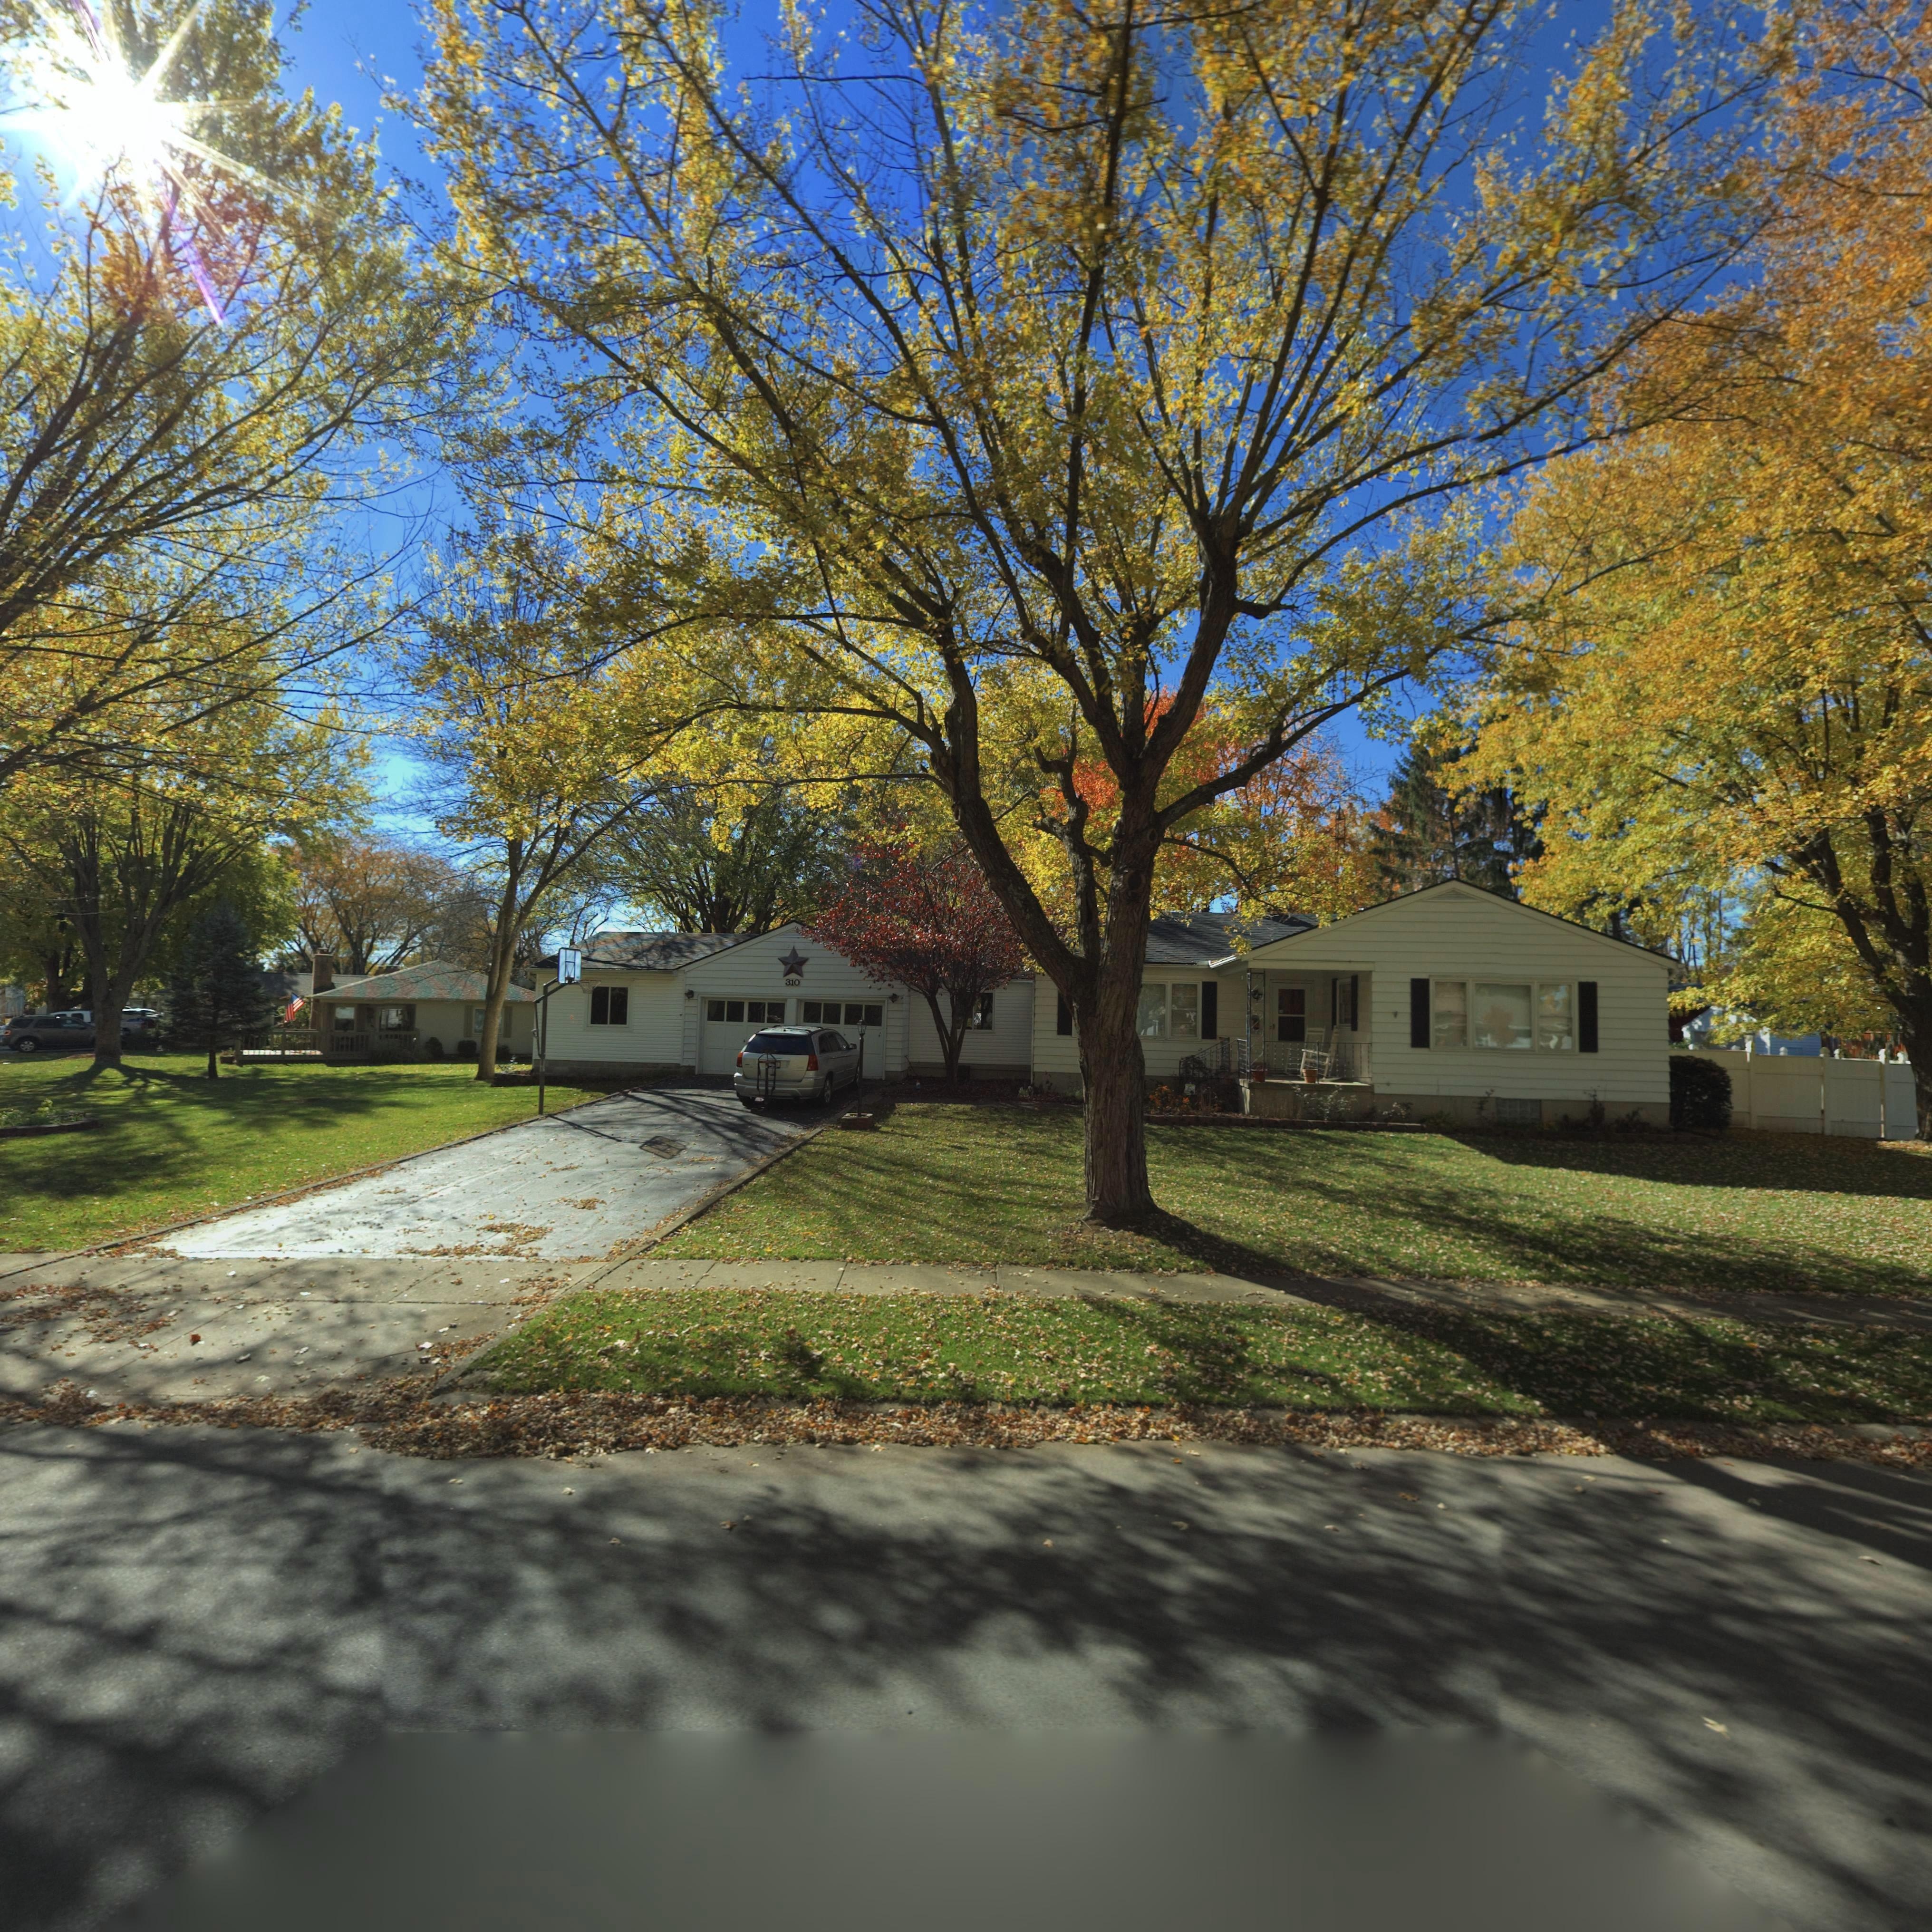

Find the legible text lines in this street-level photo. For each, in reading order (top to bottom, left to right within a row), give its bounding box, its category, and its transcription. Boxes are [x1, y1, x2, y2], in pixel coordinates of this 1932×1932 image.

[784, 978, 801, 986] StreetNumber: 310